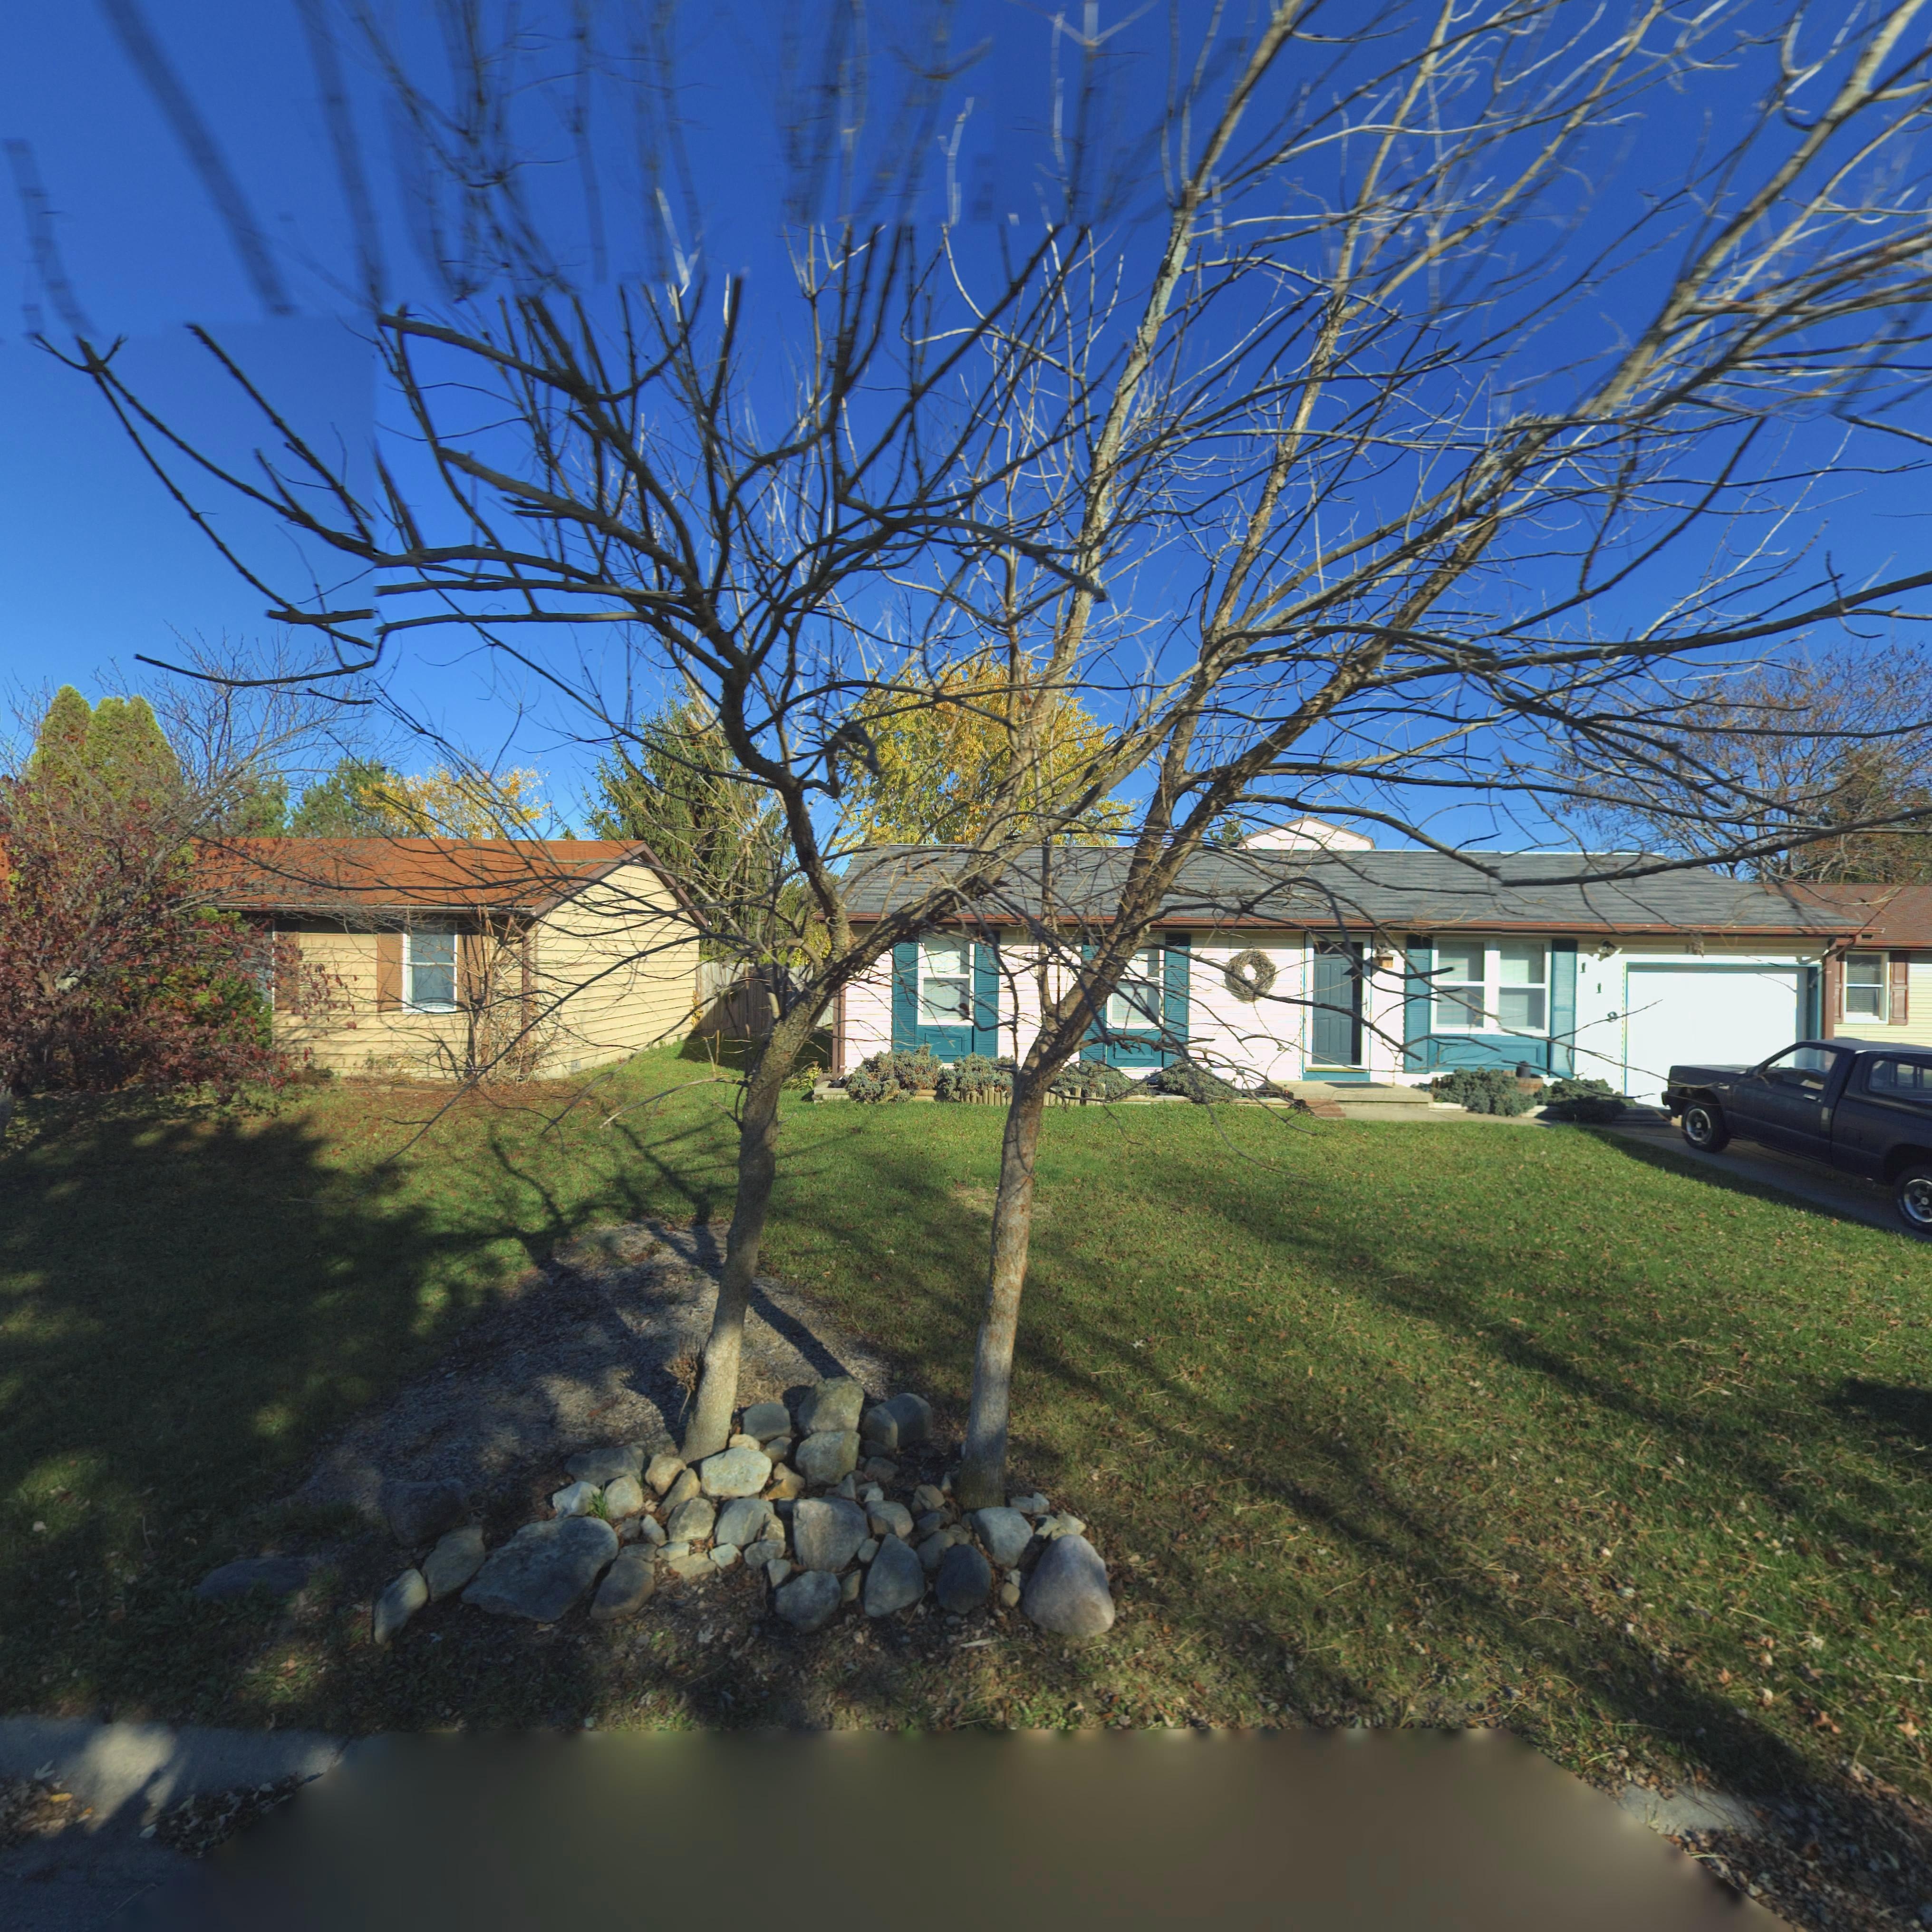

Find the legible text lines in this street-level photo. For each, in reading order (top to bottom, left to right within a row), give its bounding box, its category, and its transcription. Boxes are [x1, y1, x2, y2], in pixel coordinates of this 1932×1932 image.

[1579, 960, 1617, 1023] StreetNumber: 119